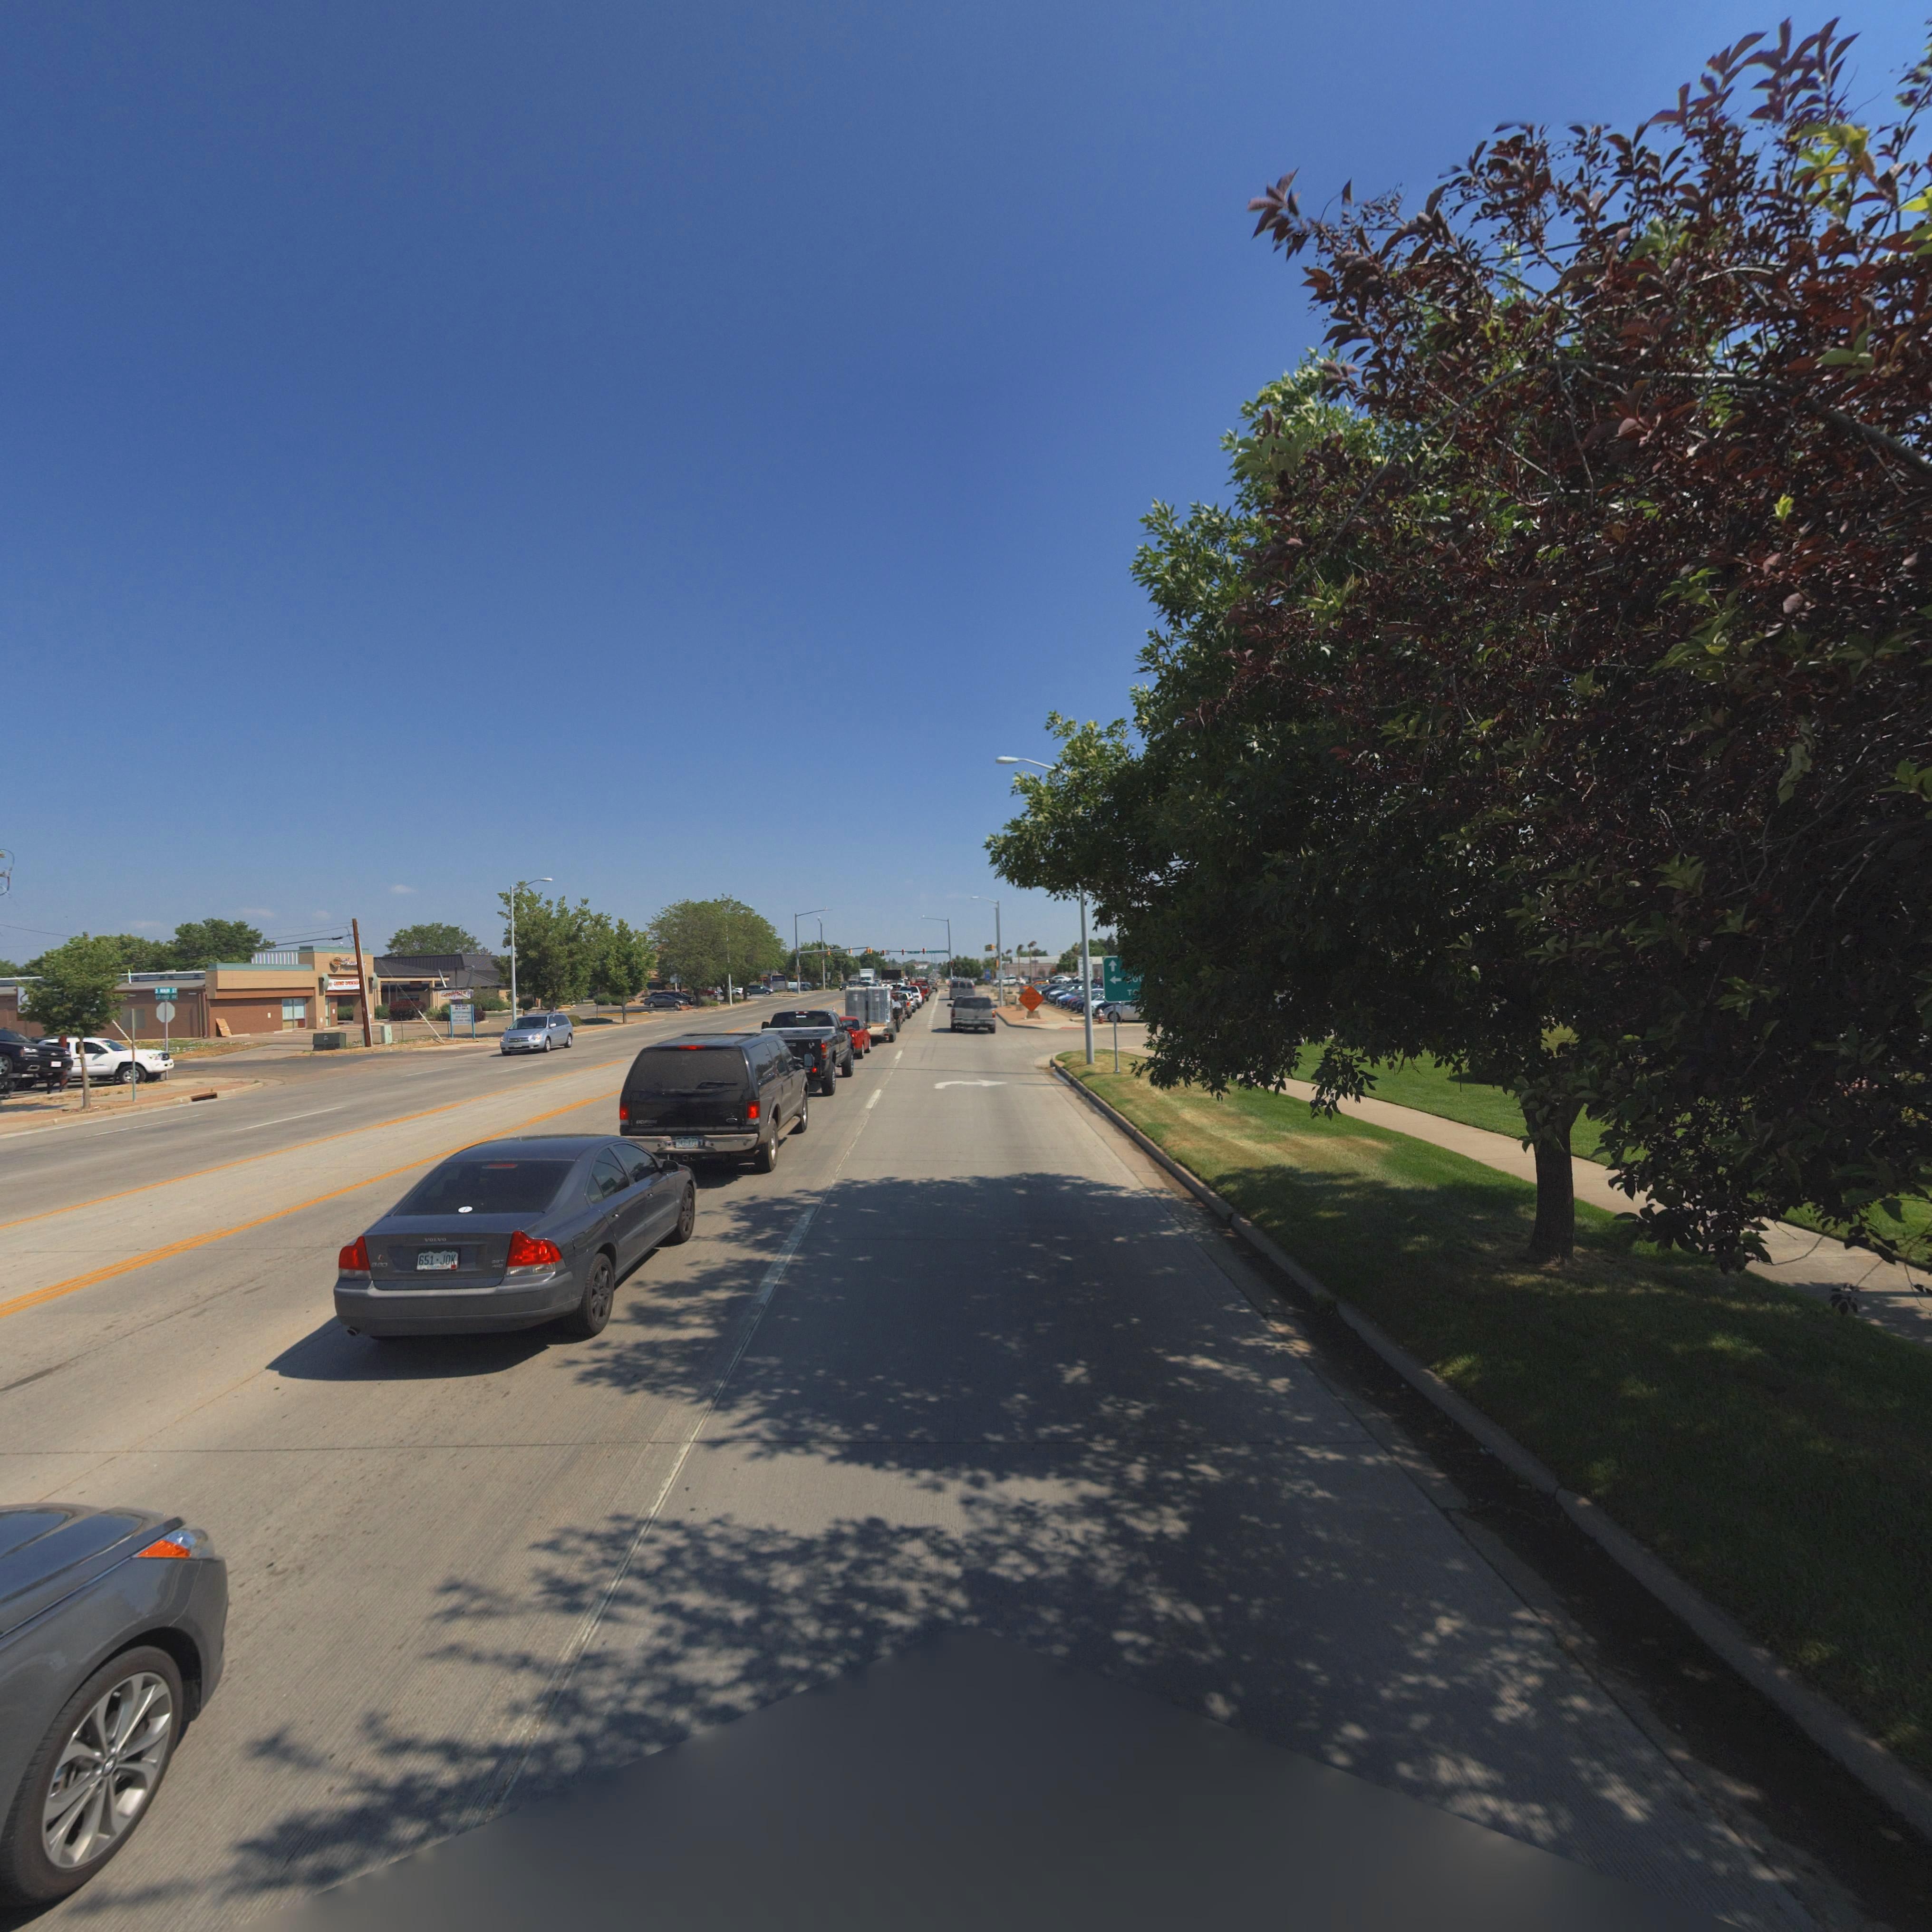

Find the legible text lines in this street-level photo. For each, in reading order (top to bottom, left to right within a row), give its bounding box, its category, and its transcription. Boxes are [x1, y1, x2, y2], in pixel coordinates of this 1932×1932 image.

[341, 957, 367, 967] BusinessName: Phar***y
[154, 988, 177, 994] StreetName: S MAIN ST
[155, 994, 178, 1000] StreetName: GRAND AV
[440, 989, 470, 997] BusinessName: Goodfella's